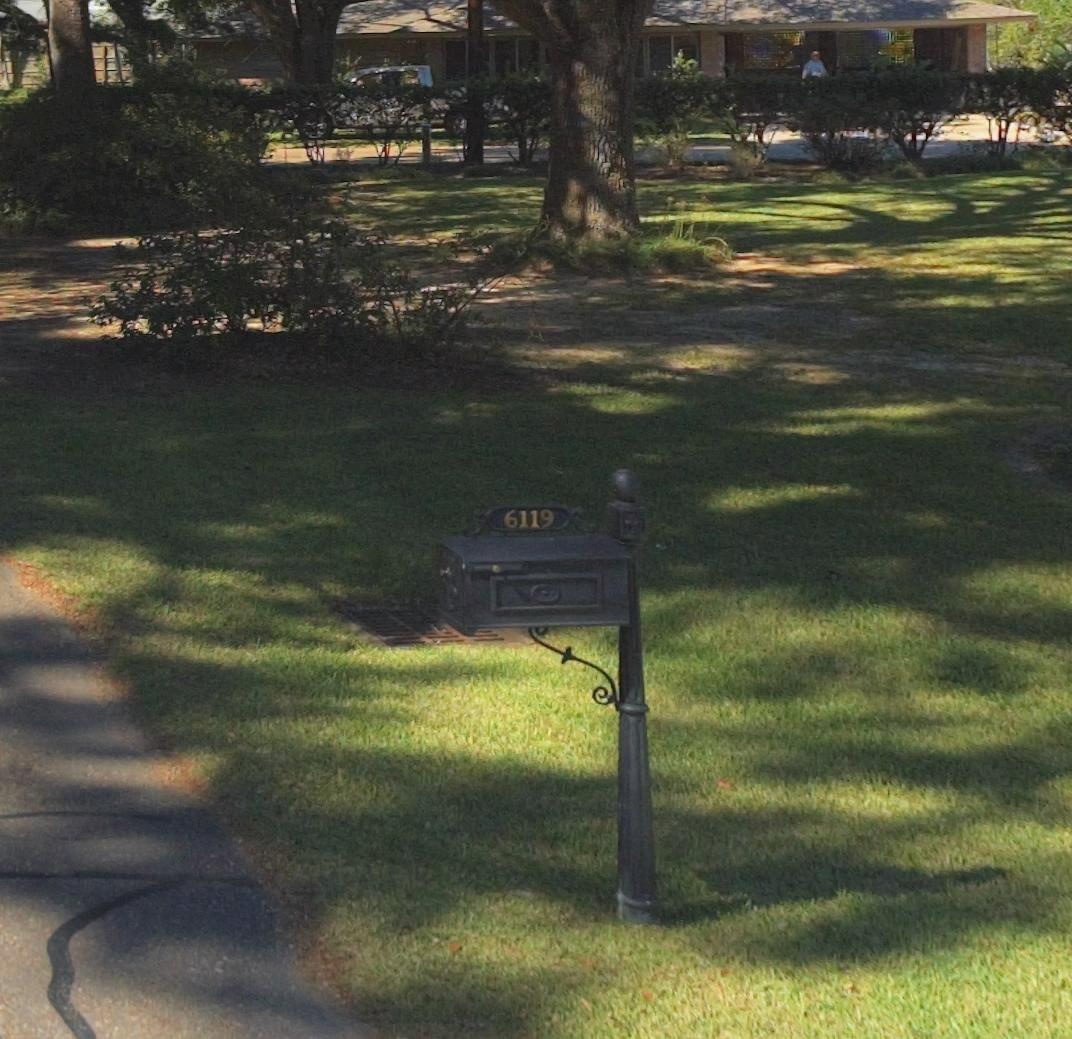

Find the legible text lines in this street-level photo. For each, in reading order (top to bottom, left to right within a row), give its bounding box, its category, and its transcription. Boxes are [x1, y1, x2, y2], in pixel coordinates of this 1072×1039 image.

[501, 507, 557, 531] StreetNumber: 6119